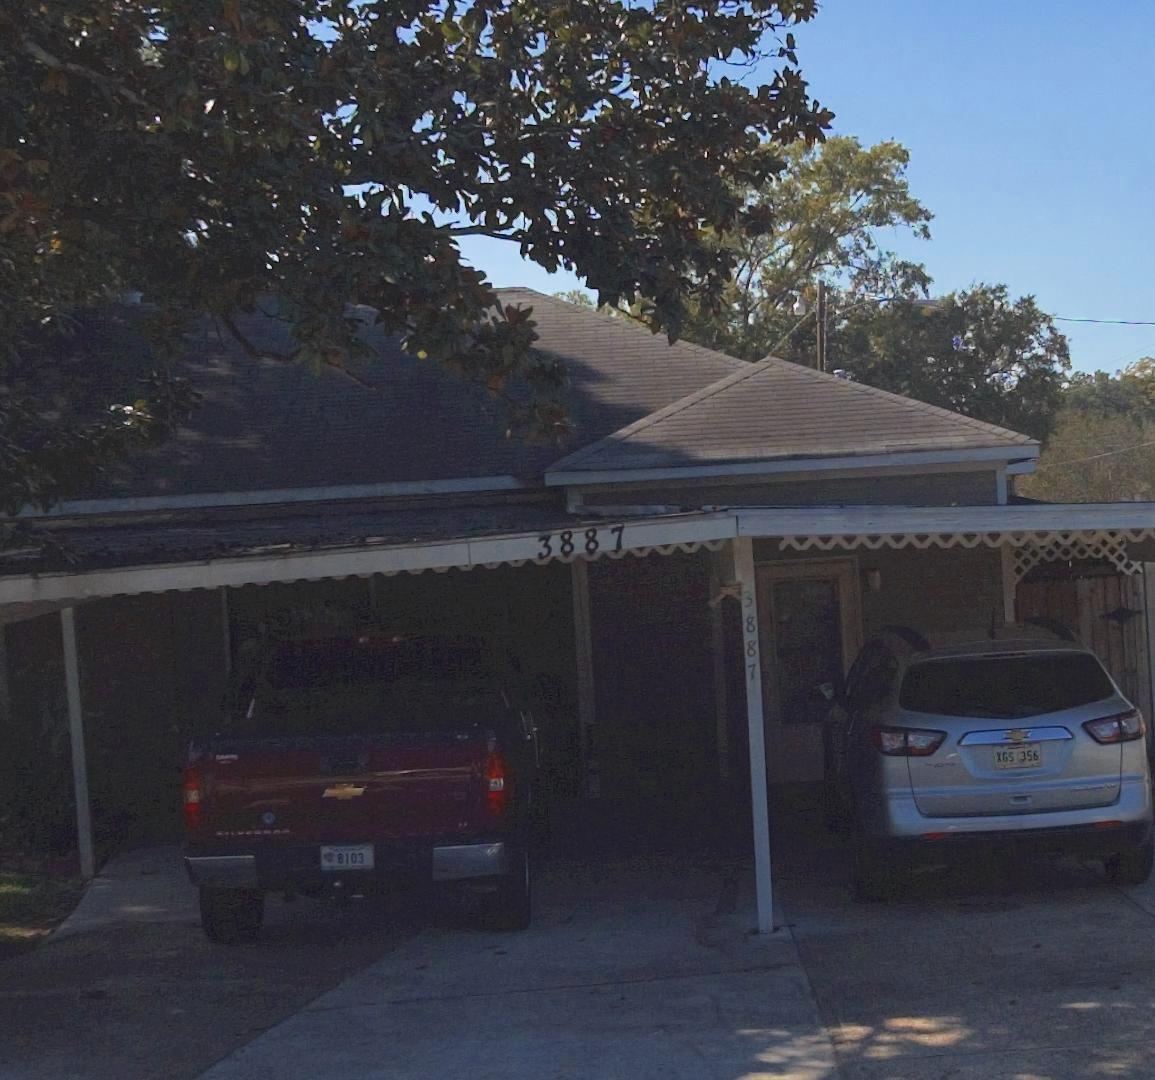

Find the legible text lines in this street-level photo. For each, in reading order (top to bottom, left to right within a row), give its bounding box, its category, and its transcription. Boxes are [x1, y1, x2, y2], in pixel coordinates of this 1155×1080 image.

[535, 523, 625, 563] StreetNumber: 3887
[739, 585, 760, 682] StreetNumber: 3887
[994, 748, 1041, 765] None: XGS 356
[335, 850, 366, 867] None: 810